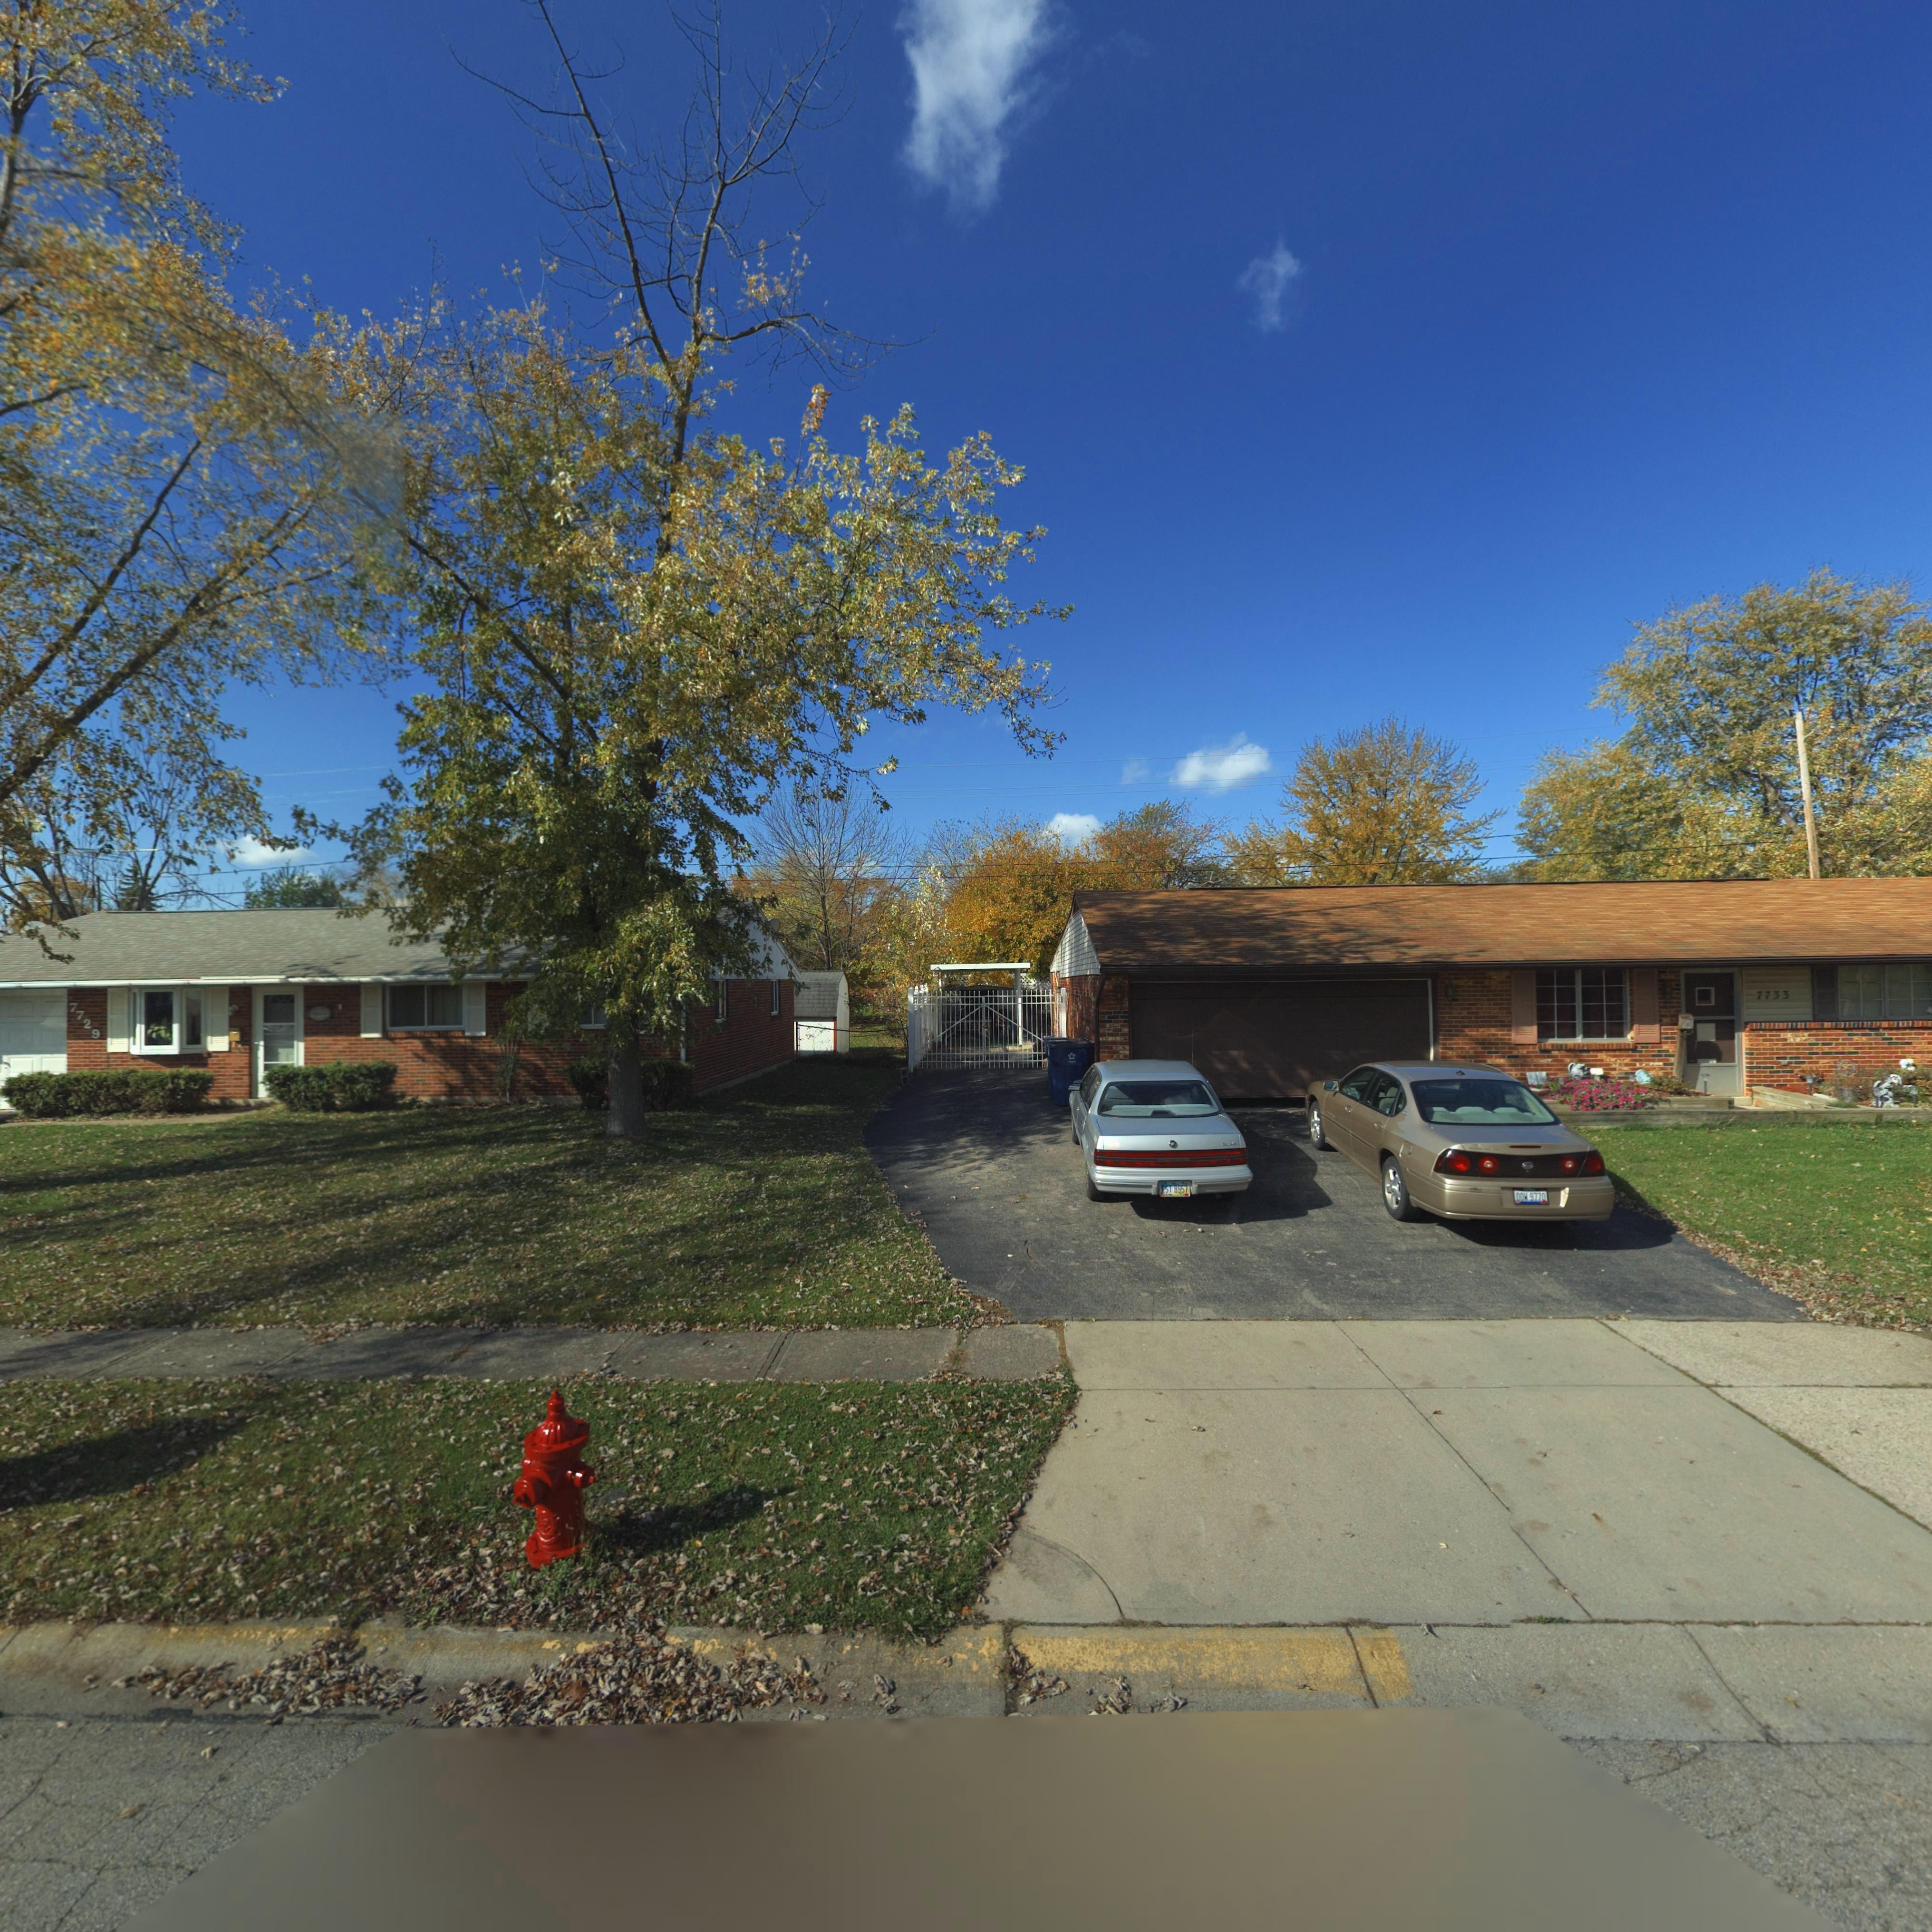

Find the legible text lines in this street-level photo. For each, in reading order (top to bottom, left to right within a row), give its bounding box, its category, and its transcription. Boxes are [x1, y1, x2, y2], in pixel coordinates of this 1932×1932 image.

[1756, 989, 1790, 1001] StreetNumber: 7733
[68, 1002, 101, 1040] StreetNumber: 7729